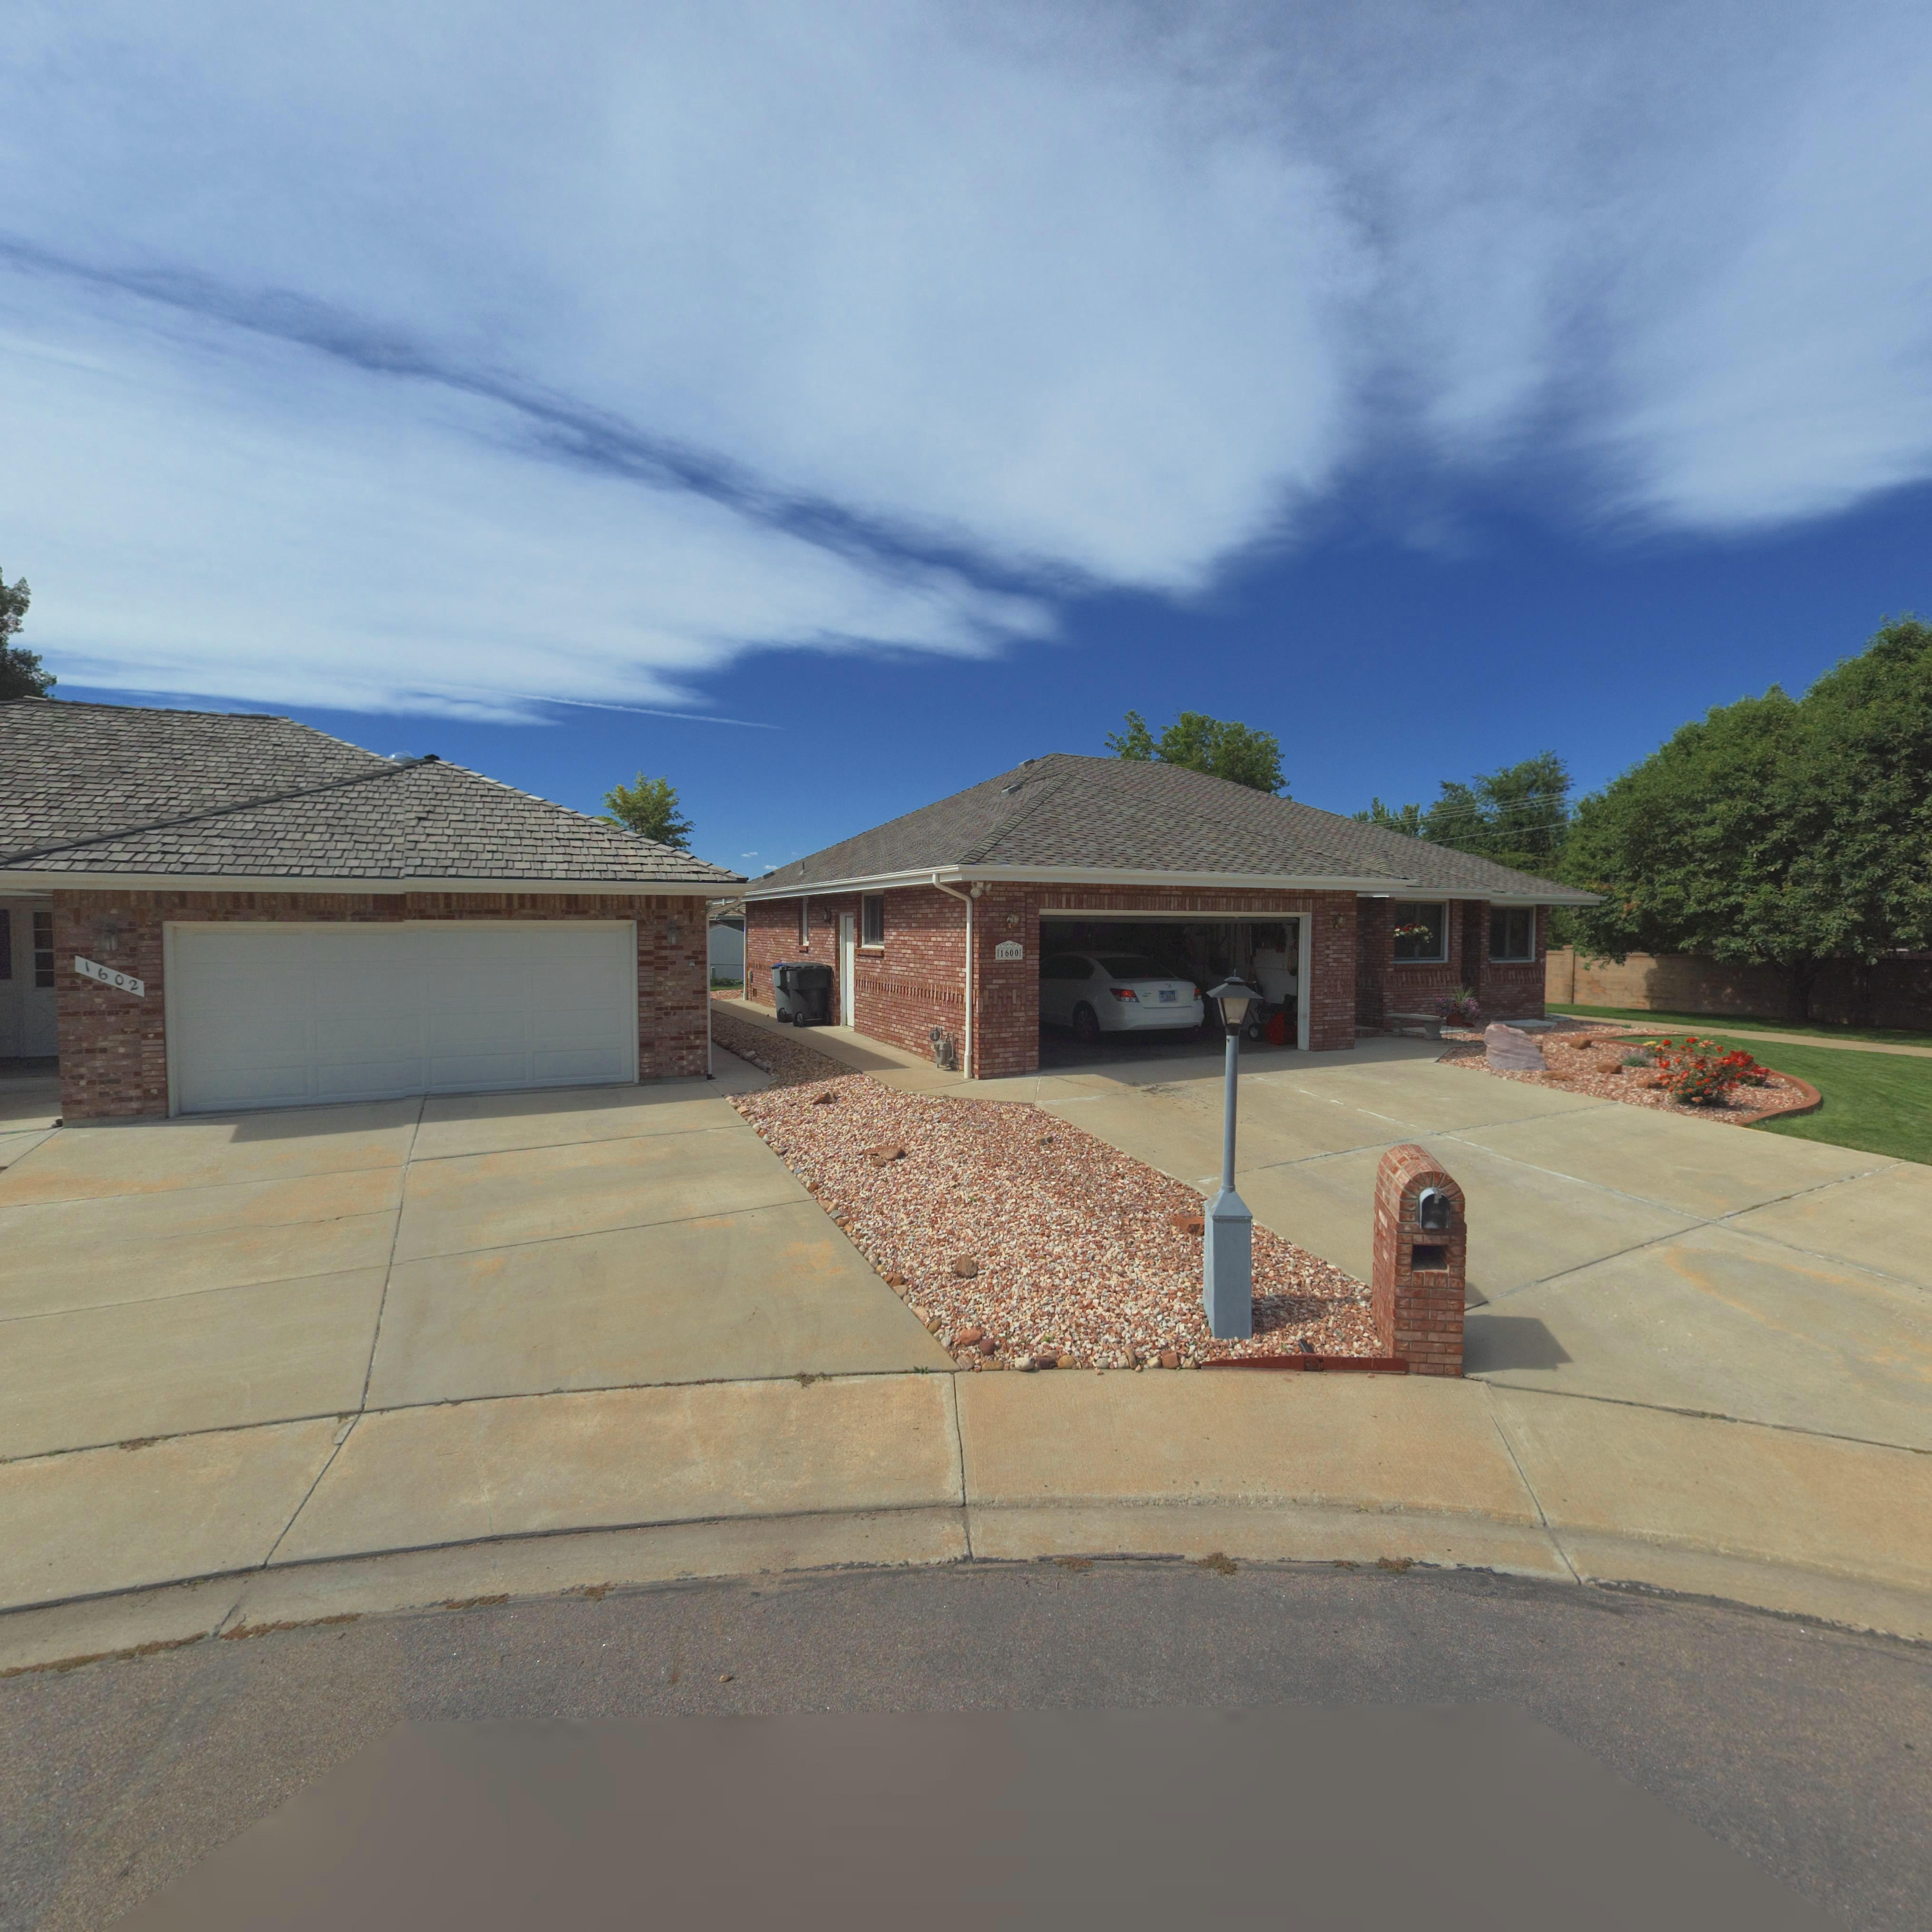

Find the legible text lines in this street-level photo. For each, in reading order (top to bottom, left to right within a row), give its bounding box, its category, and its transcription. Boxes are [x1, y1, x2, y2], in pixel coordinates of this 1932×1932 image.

[1001, 949, 1018, 956] StreetNumber: 1600
[85, 961, 139, 991] StreetNumber: 1602